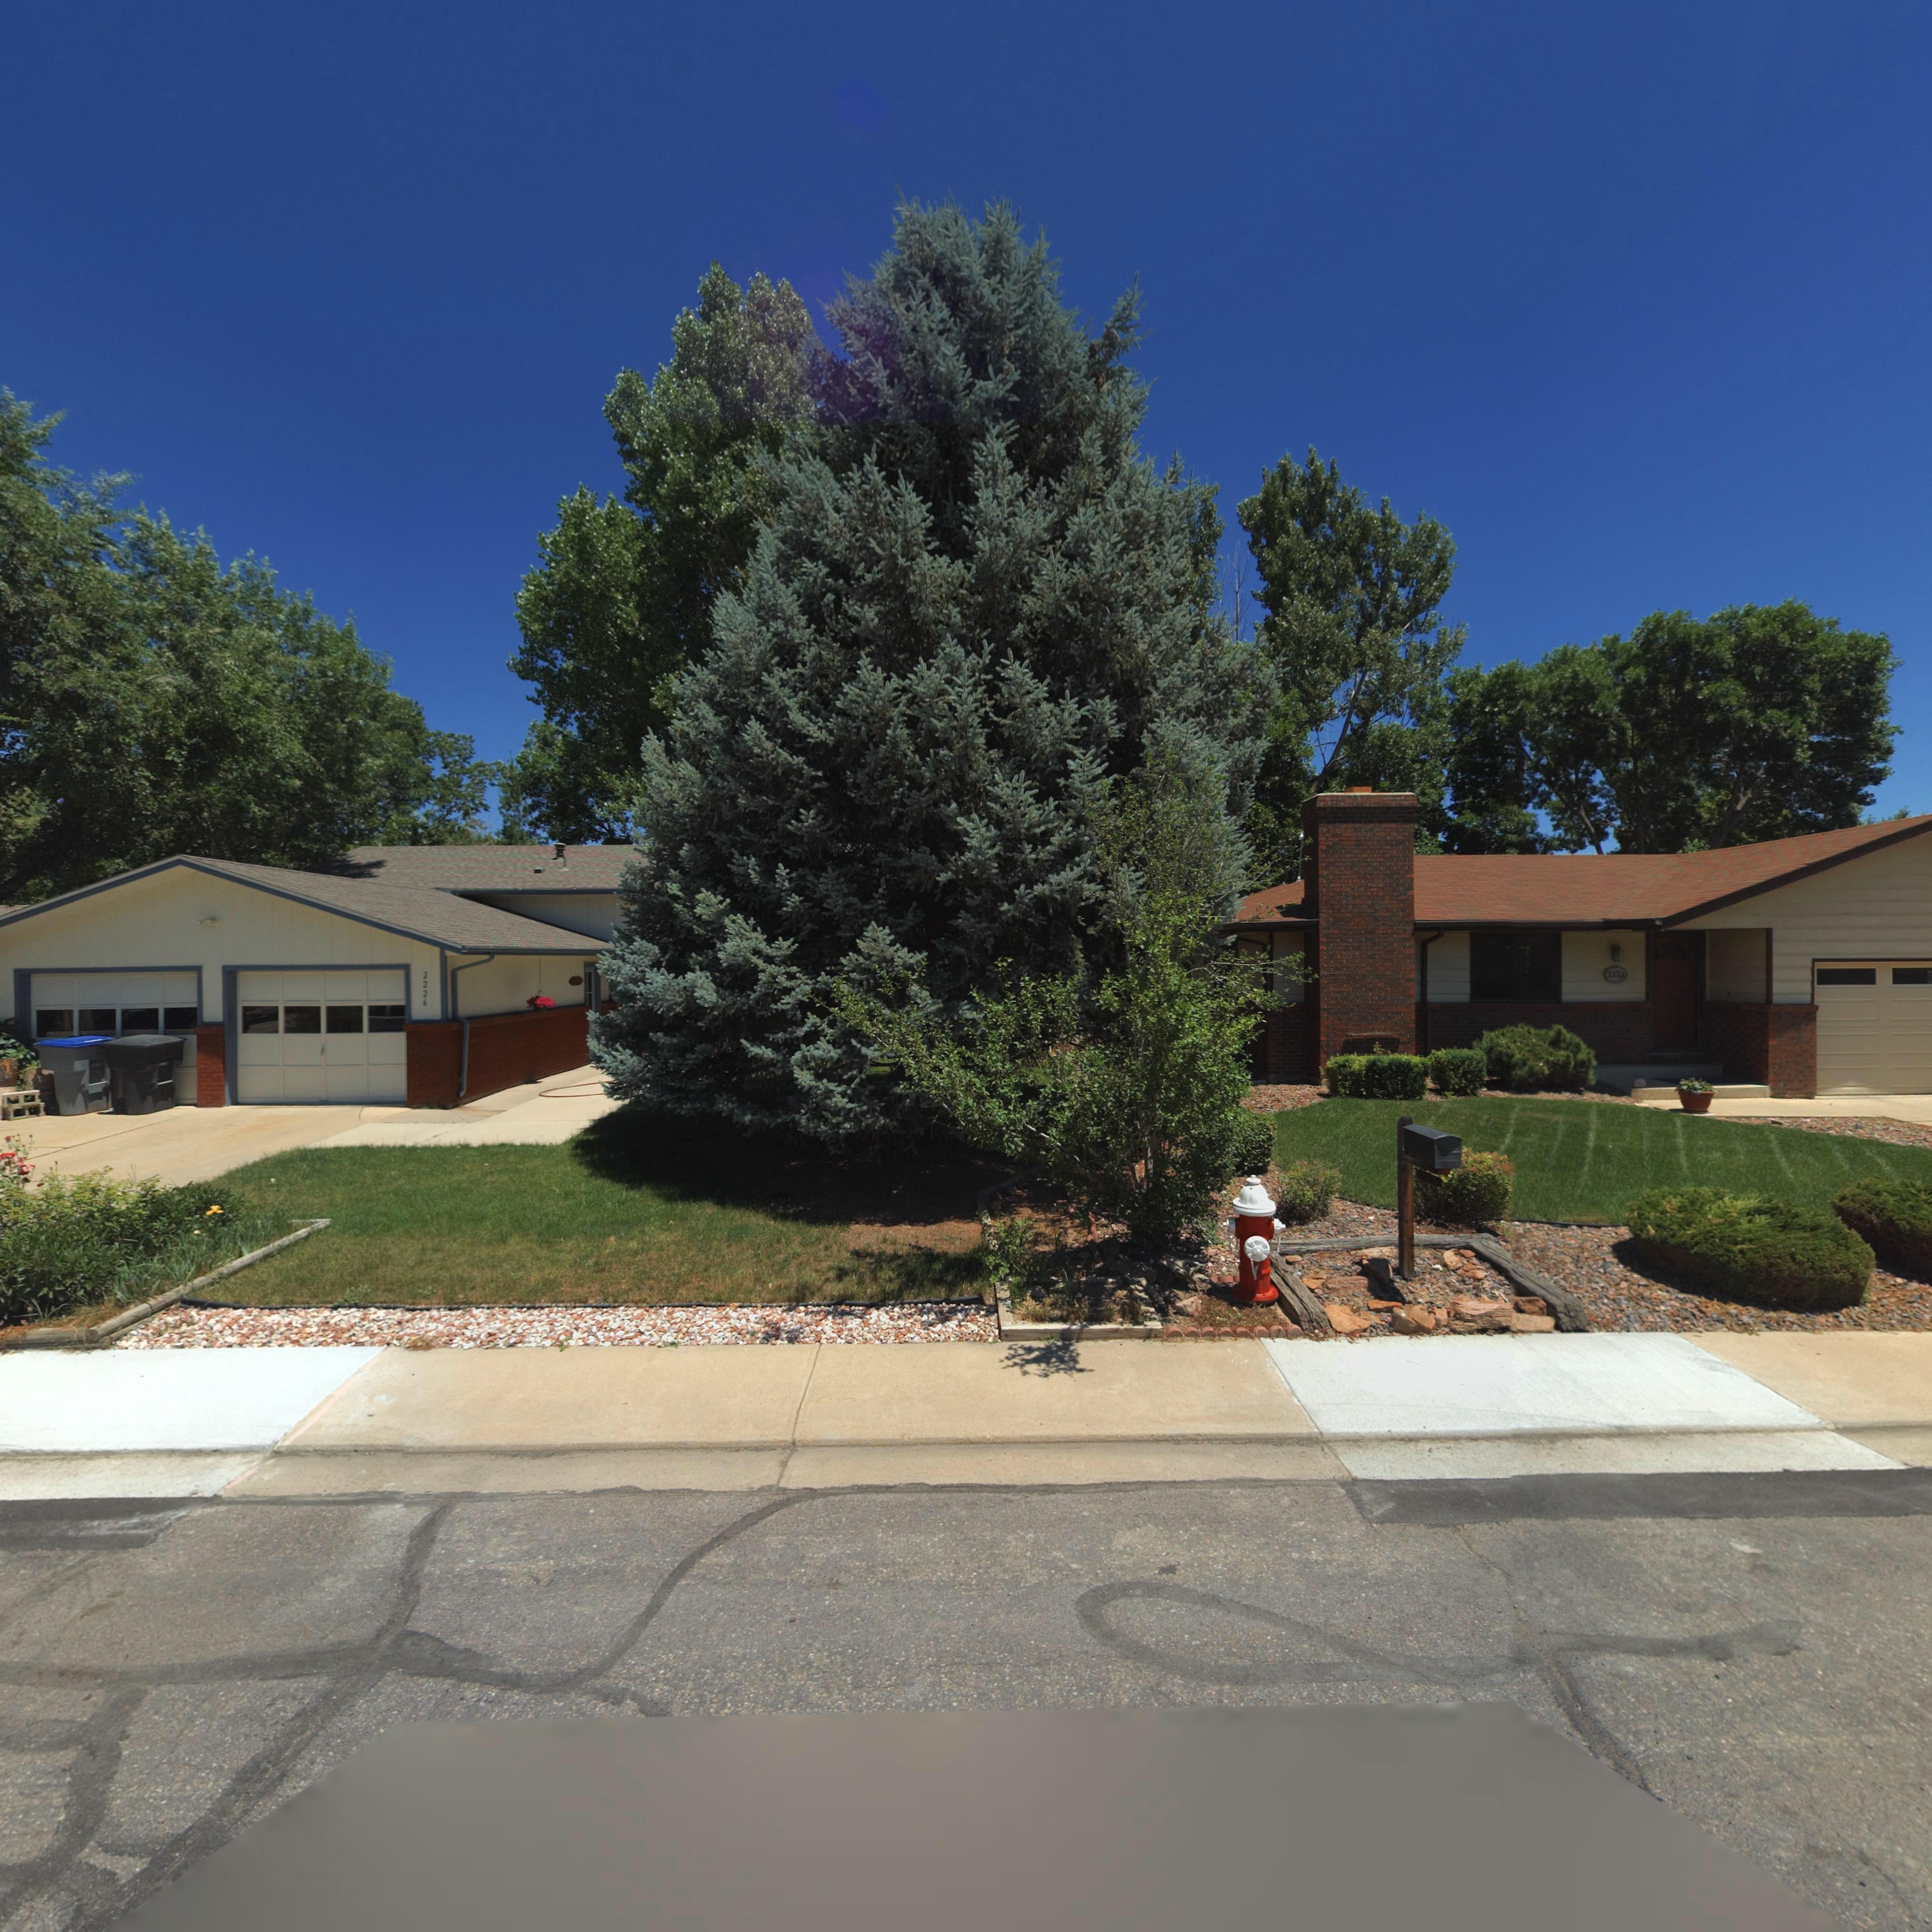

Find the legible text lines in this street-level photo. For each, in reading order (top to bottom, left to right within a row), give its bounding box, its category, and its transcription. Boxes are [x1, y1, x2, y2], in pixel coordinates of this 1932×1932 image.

[423, 970, 427, 1006] StreetNumber: 2226
[1606, 970, 1626, 977] StreetNumber: 2222